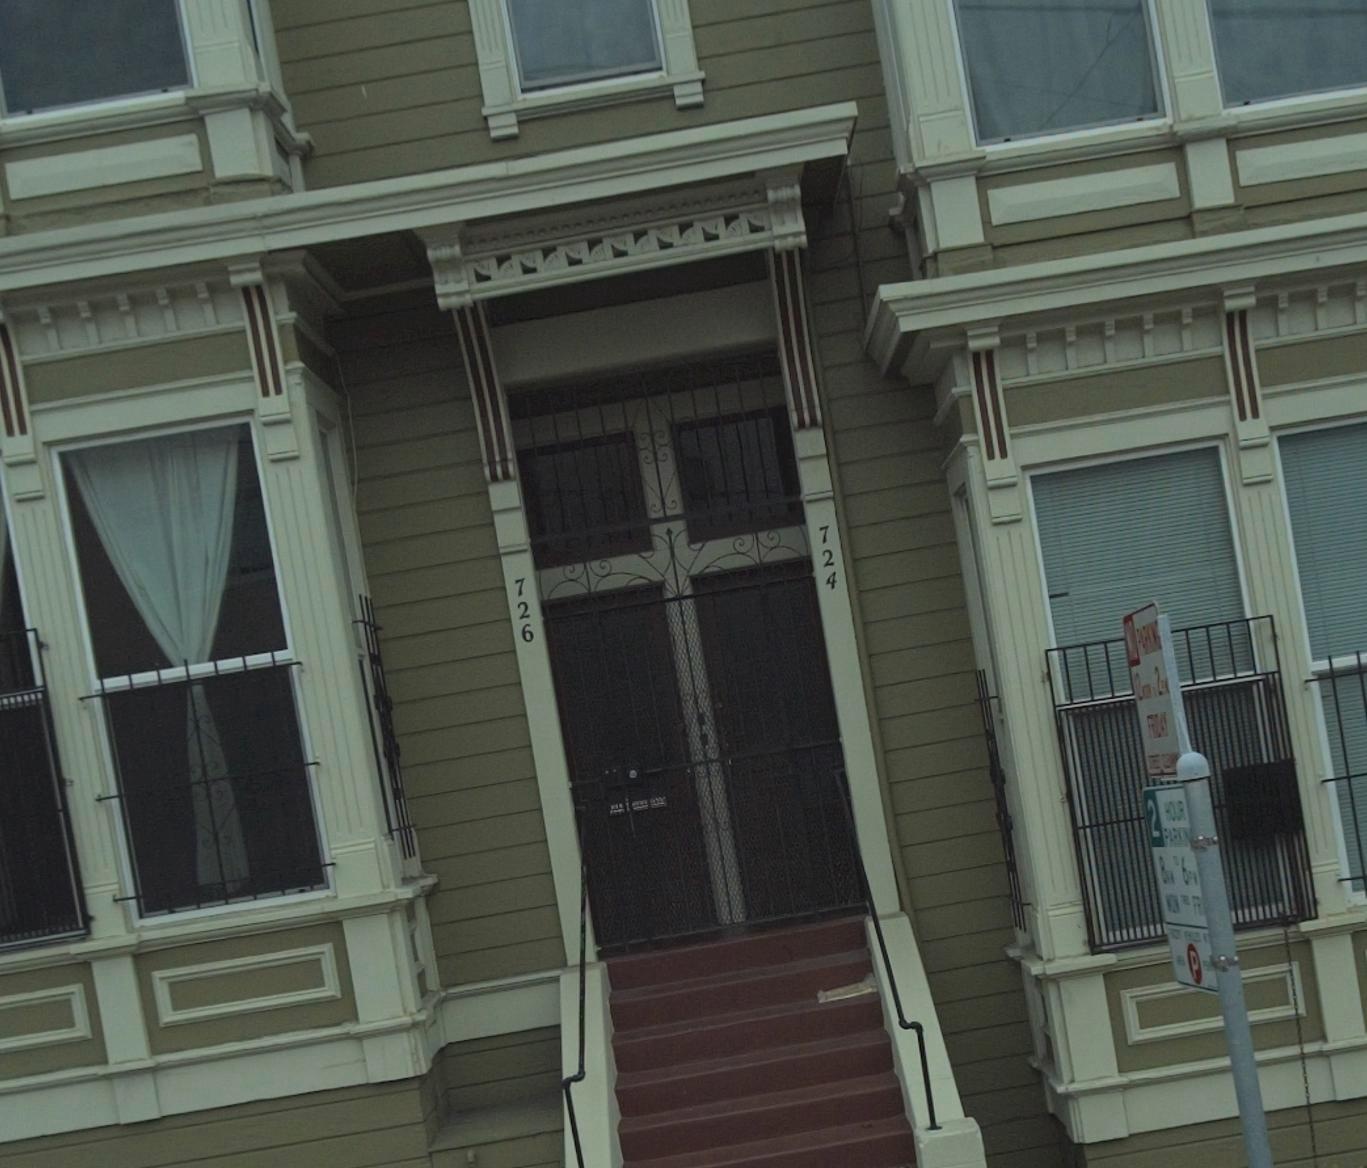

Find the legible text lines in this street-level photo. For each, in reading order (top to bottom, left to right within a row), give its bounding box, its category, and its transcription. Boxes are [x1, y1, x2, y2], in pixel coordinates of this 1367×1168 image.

[817, 523, 840, 593] StreetNumber: 724
[512, 575, 535, 644] StreetNumber: 726
[1130, 670, 1145, 704] None: 12
[1151, 661, 1167, 698] None: 2
[1145, 709, 1172, 742] None: FRIDAY
[1143, 794, 1165, 844] None: 2
[1168, 826, 1182, 848] None: AR
[1161, 798, 1191, 826] None: HOUR
[1155, 853, 1172, 887] None: 8
[1177, 852, 1192, 889] None: 6
[1189, 893, 1206, 918] None: FR
[1187, 946, 1202, 985] None: P